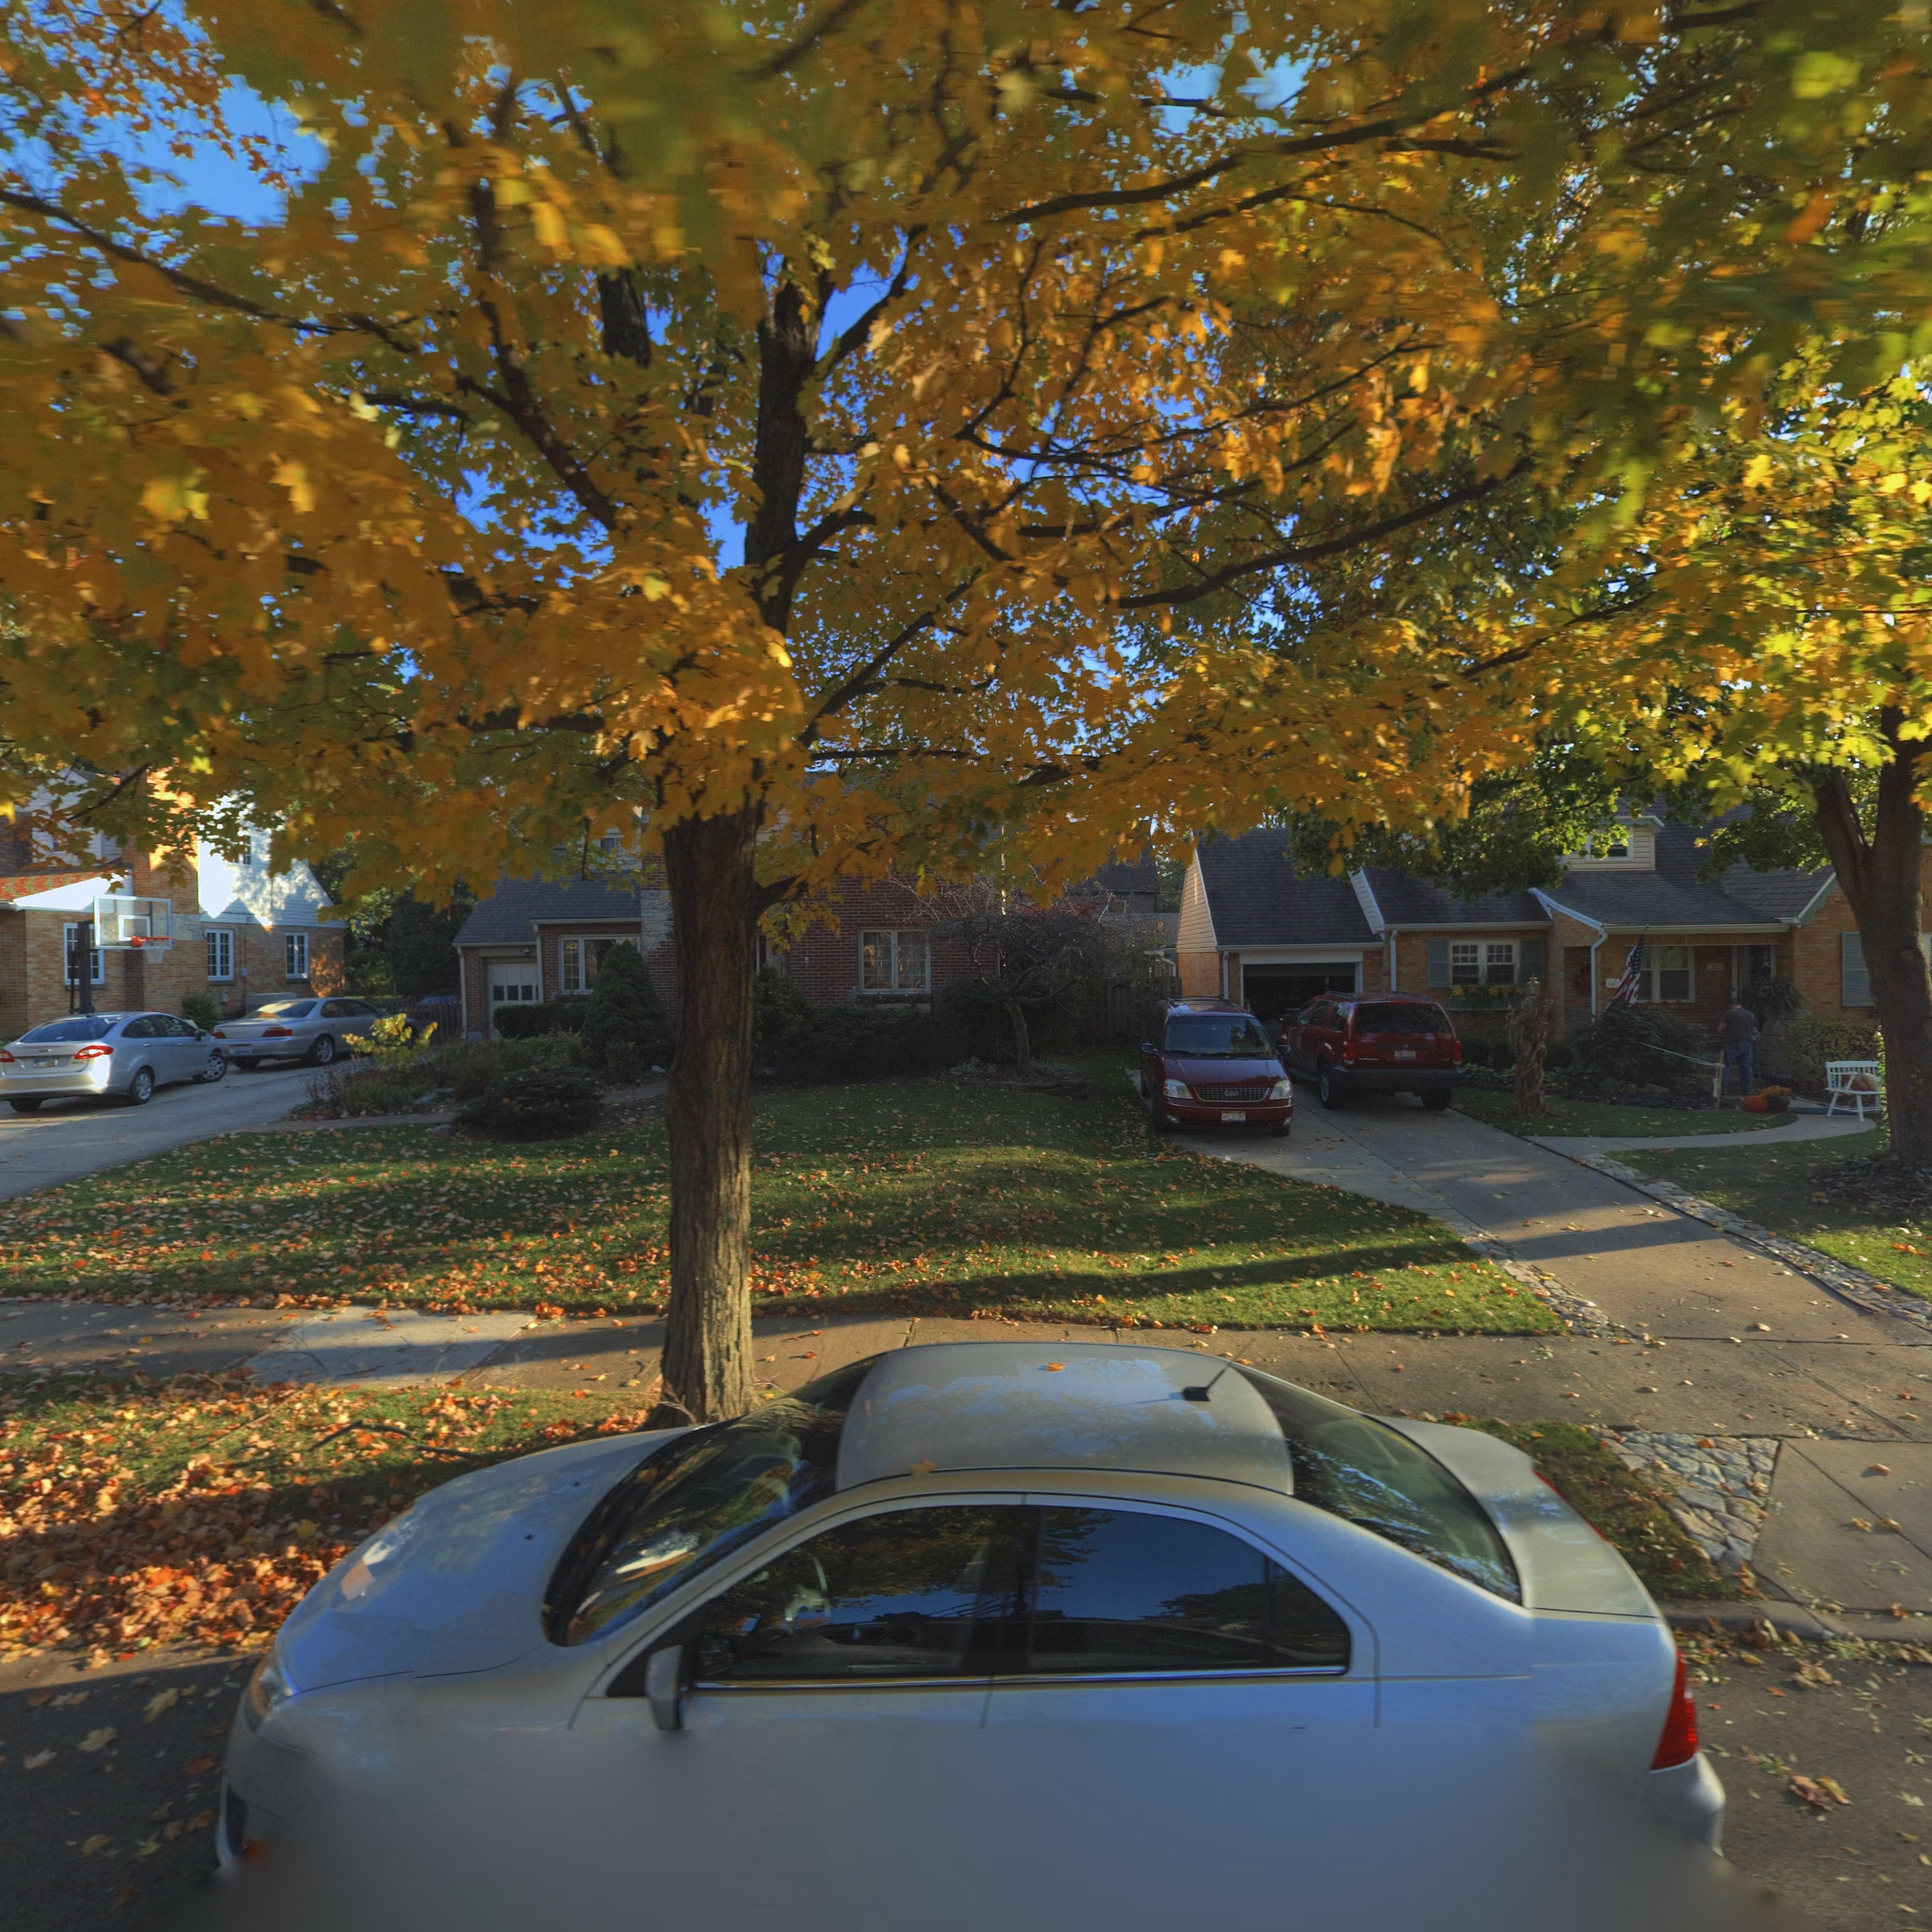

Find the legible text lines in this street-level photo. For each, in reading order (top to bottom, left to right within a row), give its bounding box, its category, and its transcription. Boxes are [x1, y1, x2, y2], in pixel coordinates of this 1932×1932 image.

[1710, 963, 1722, 970] StreetNumber: 1**